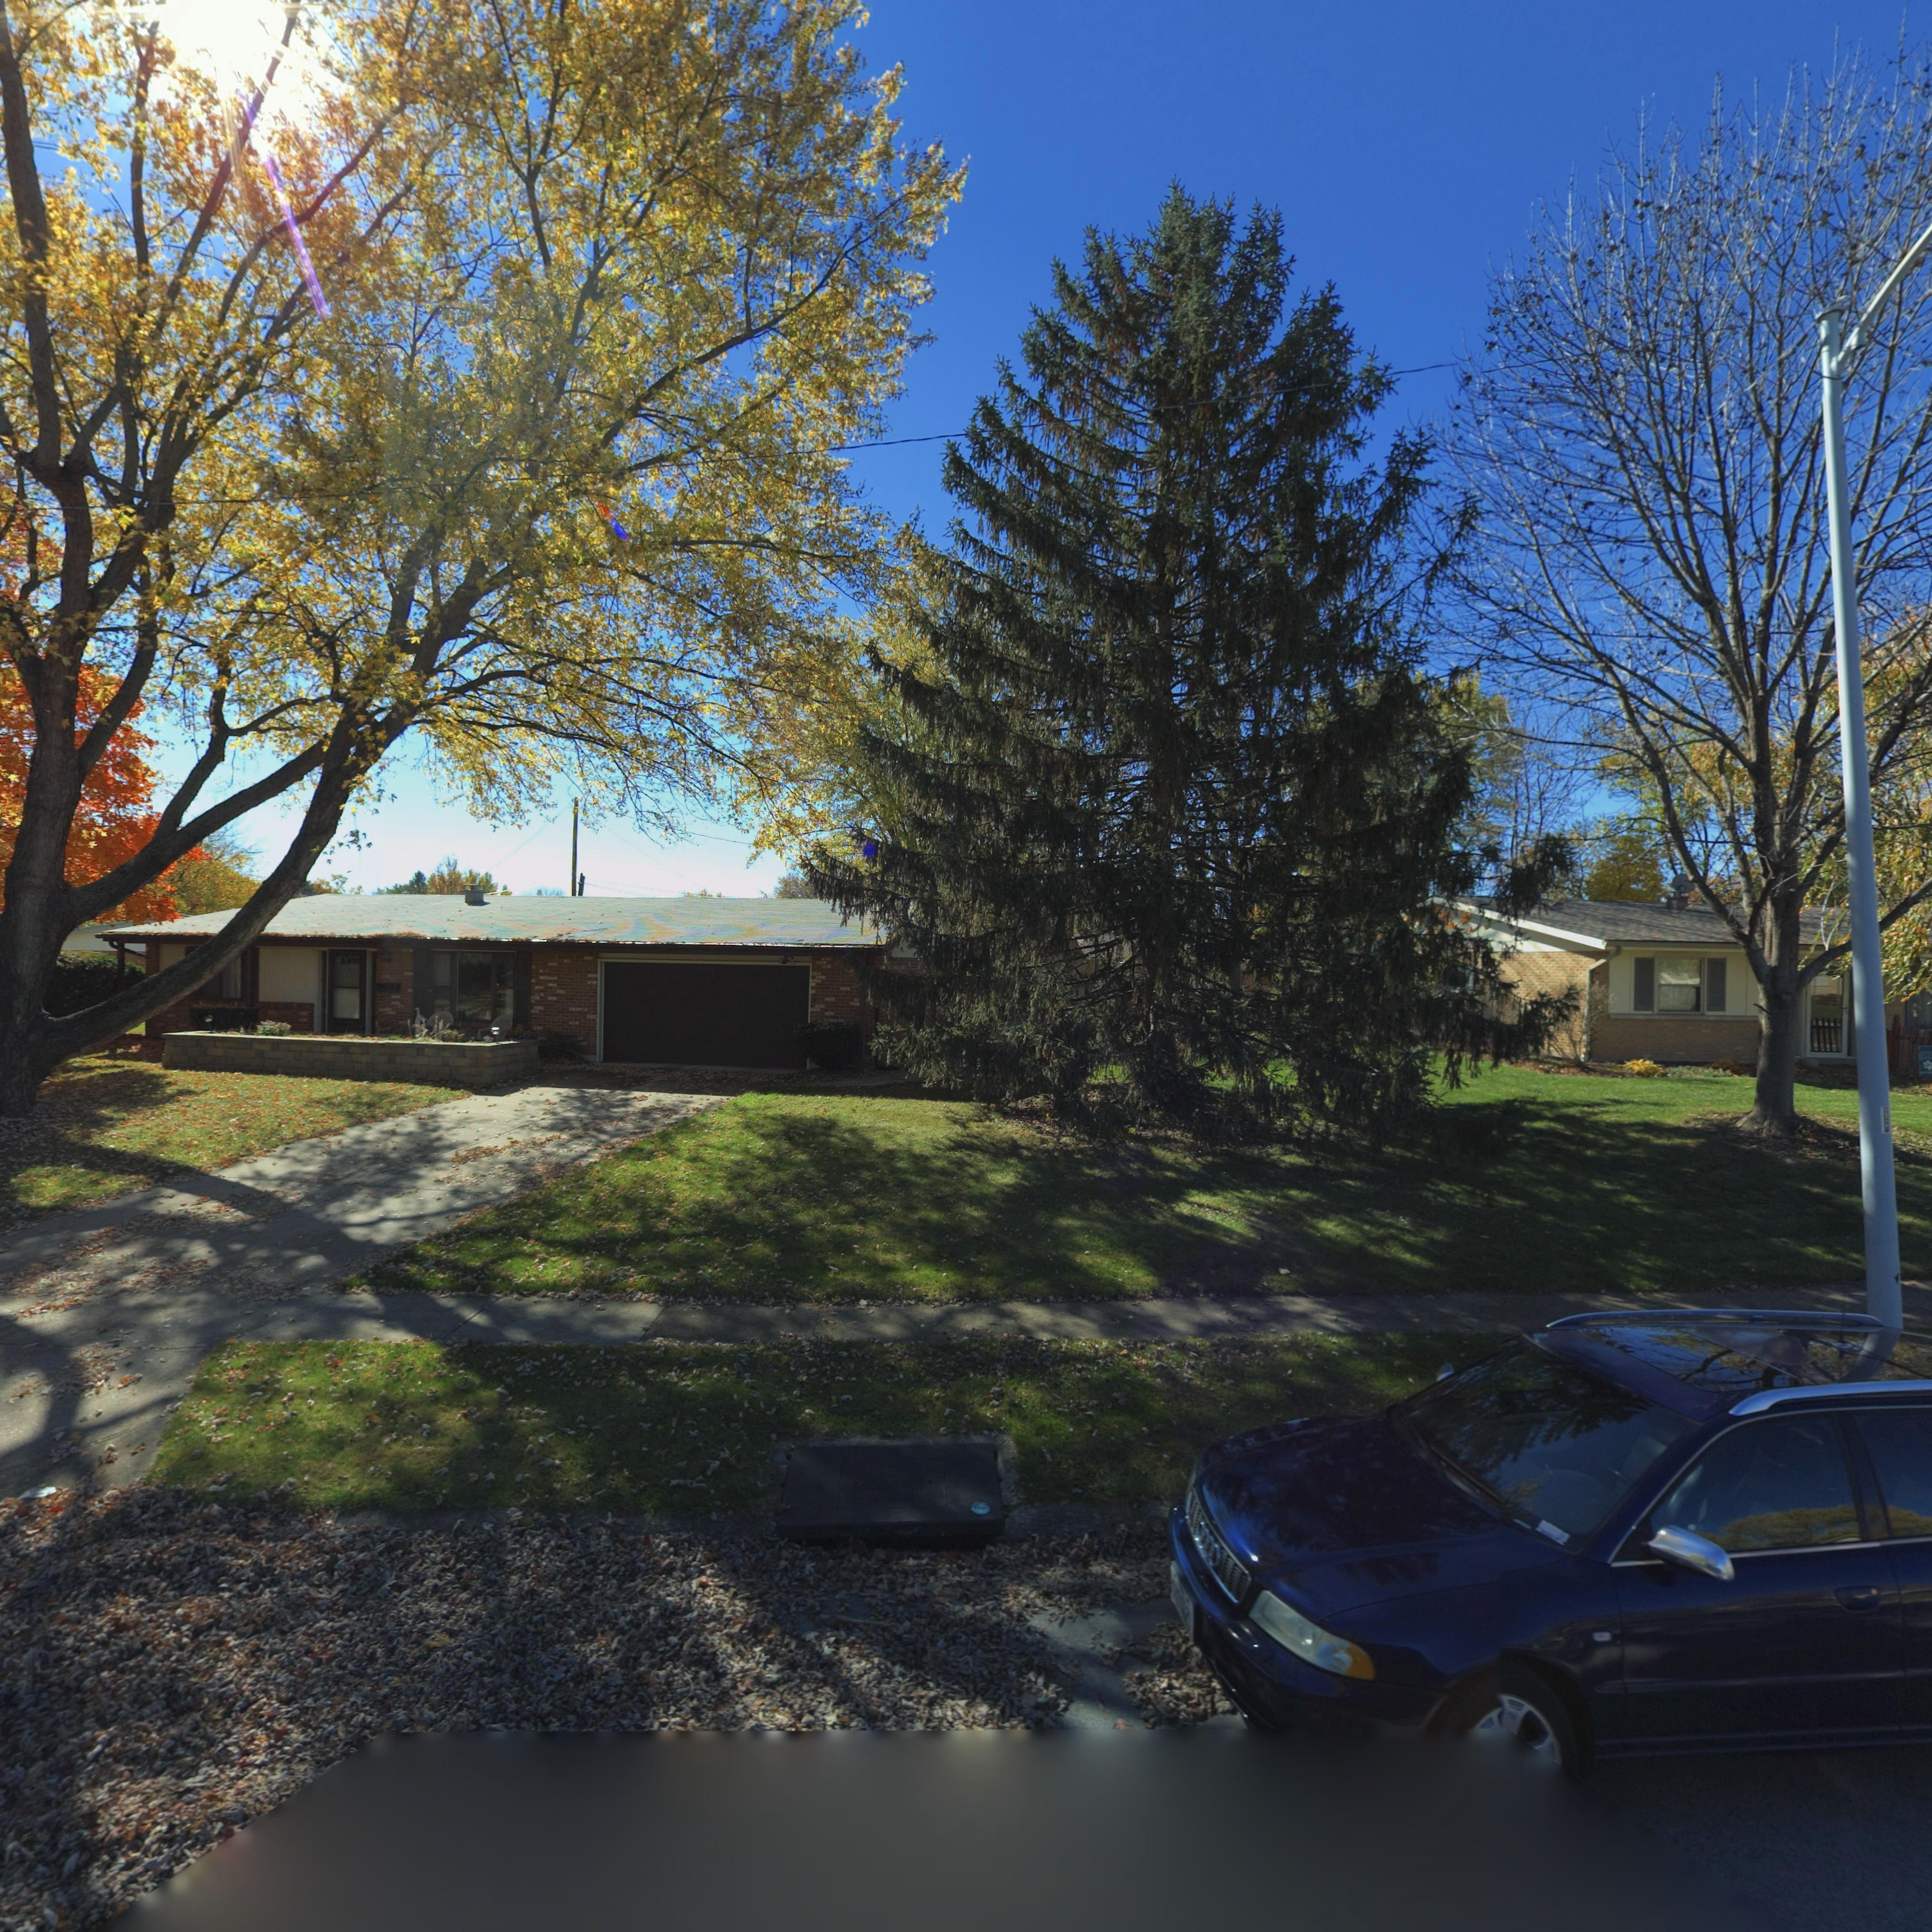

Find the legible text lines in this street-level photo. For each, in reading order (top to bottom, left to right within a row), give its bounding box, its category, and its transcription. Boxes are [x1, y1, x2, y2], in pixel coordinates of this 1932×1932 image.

[383, 975, 390, 980] StreetNumber: 10